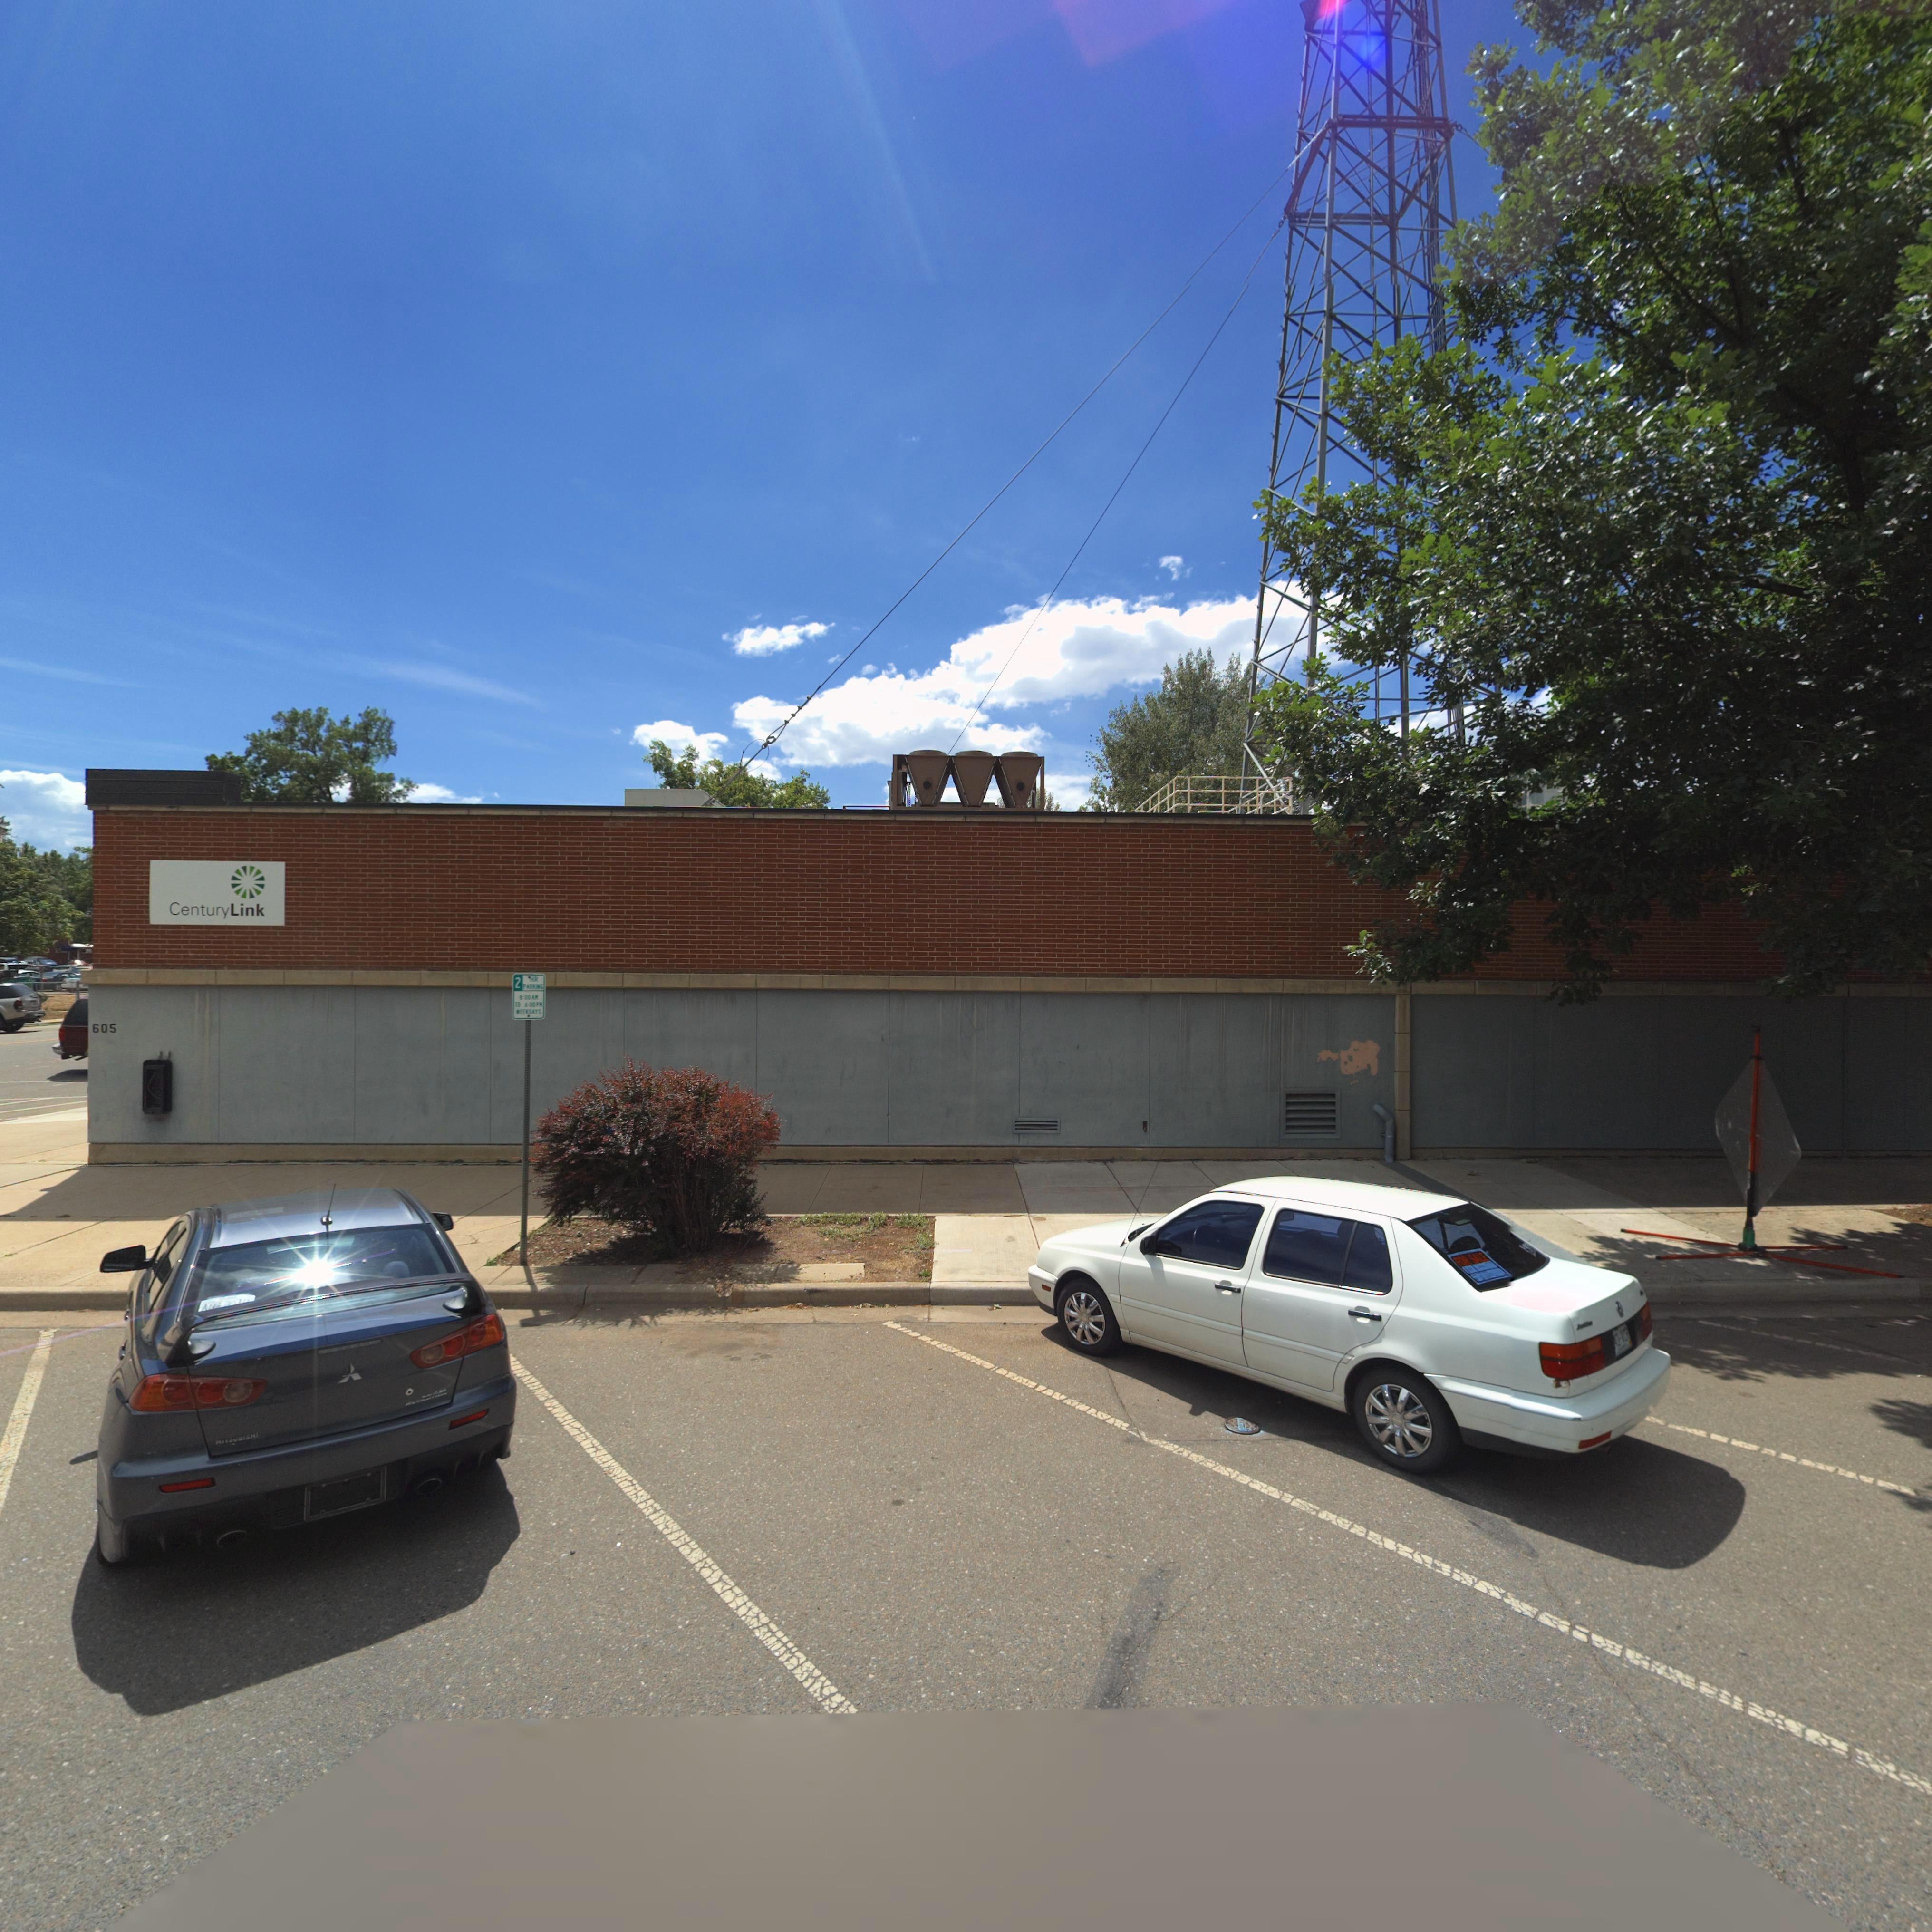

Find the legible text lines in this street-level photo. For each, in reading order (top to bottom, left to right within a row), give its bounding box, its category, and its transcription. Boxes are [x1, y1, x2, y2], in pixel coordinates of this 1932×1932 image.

[169, 901, 266, 920] BusinessName: CenturyLink
[92, 1023, 117, 1033] StreetNumber: 605